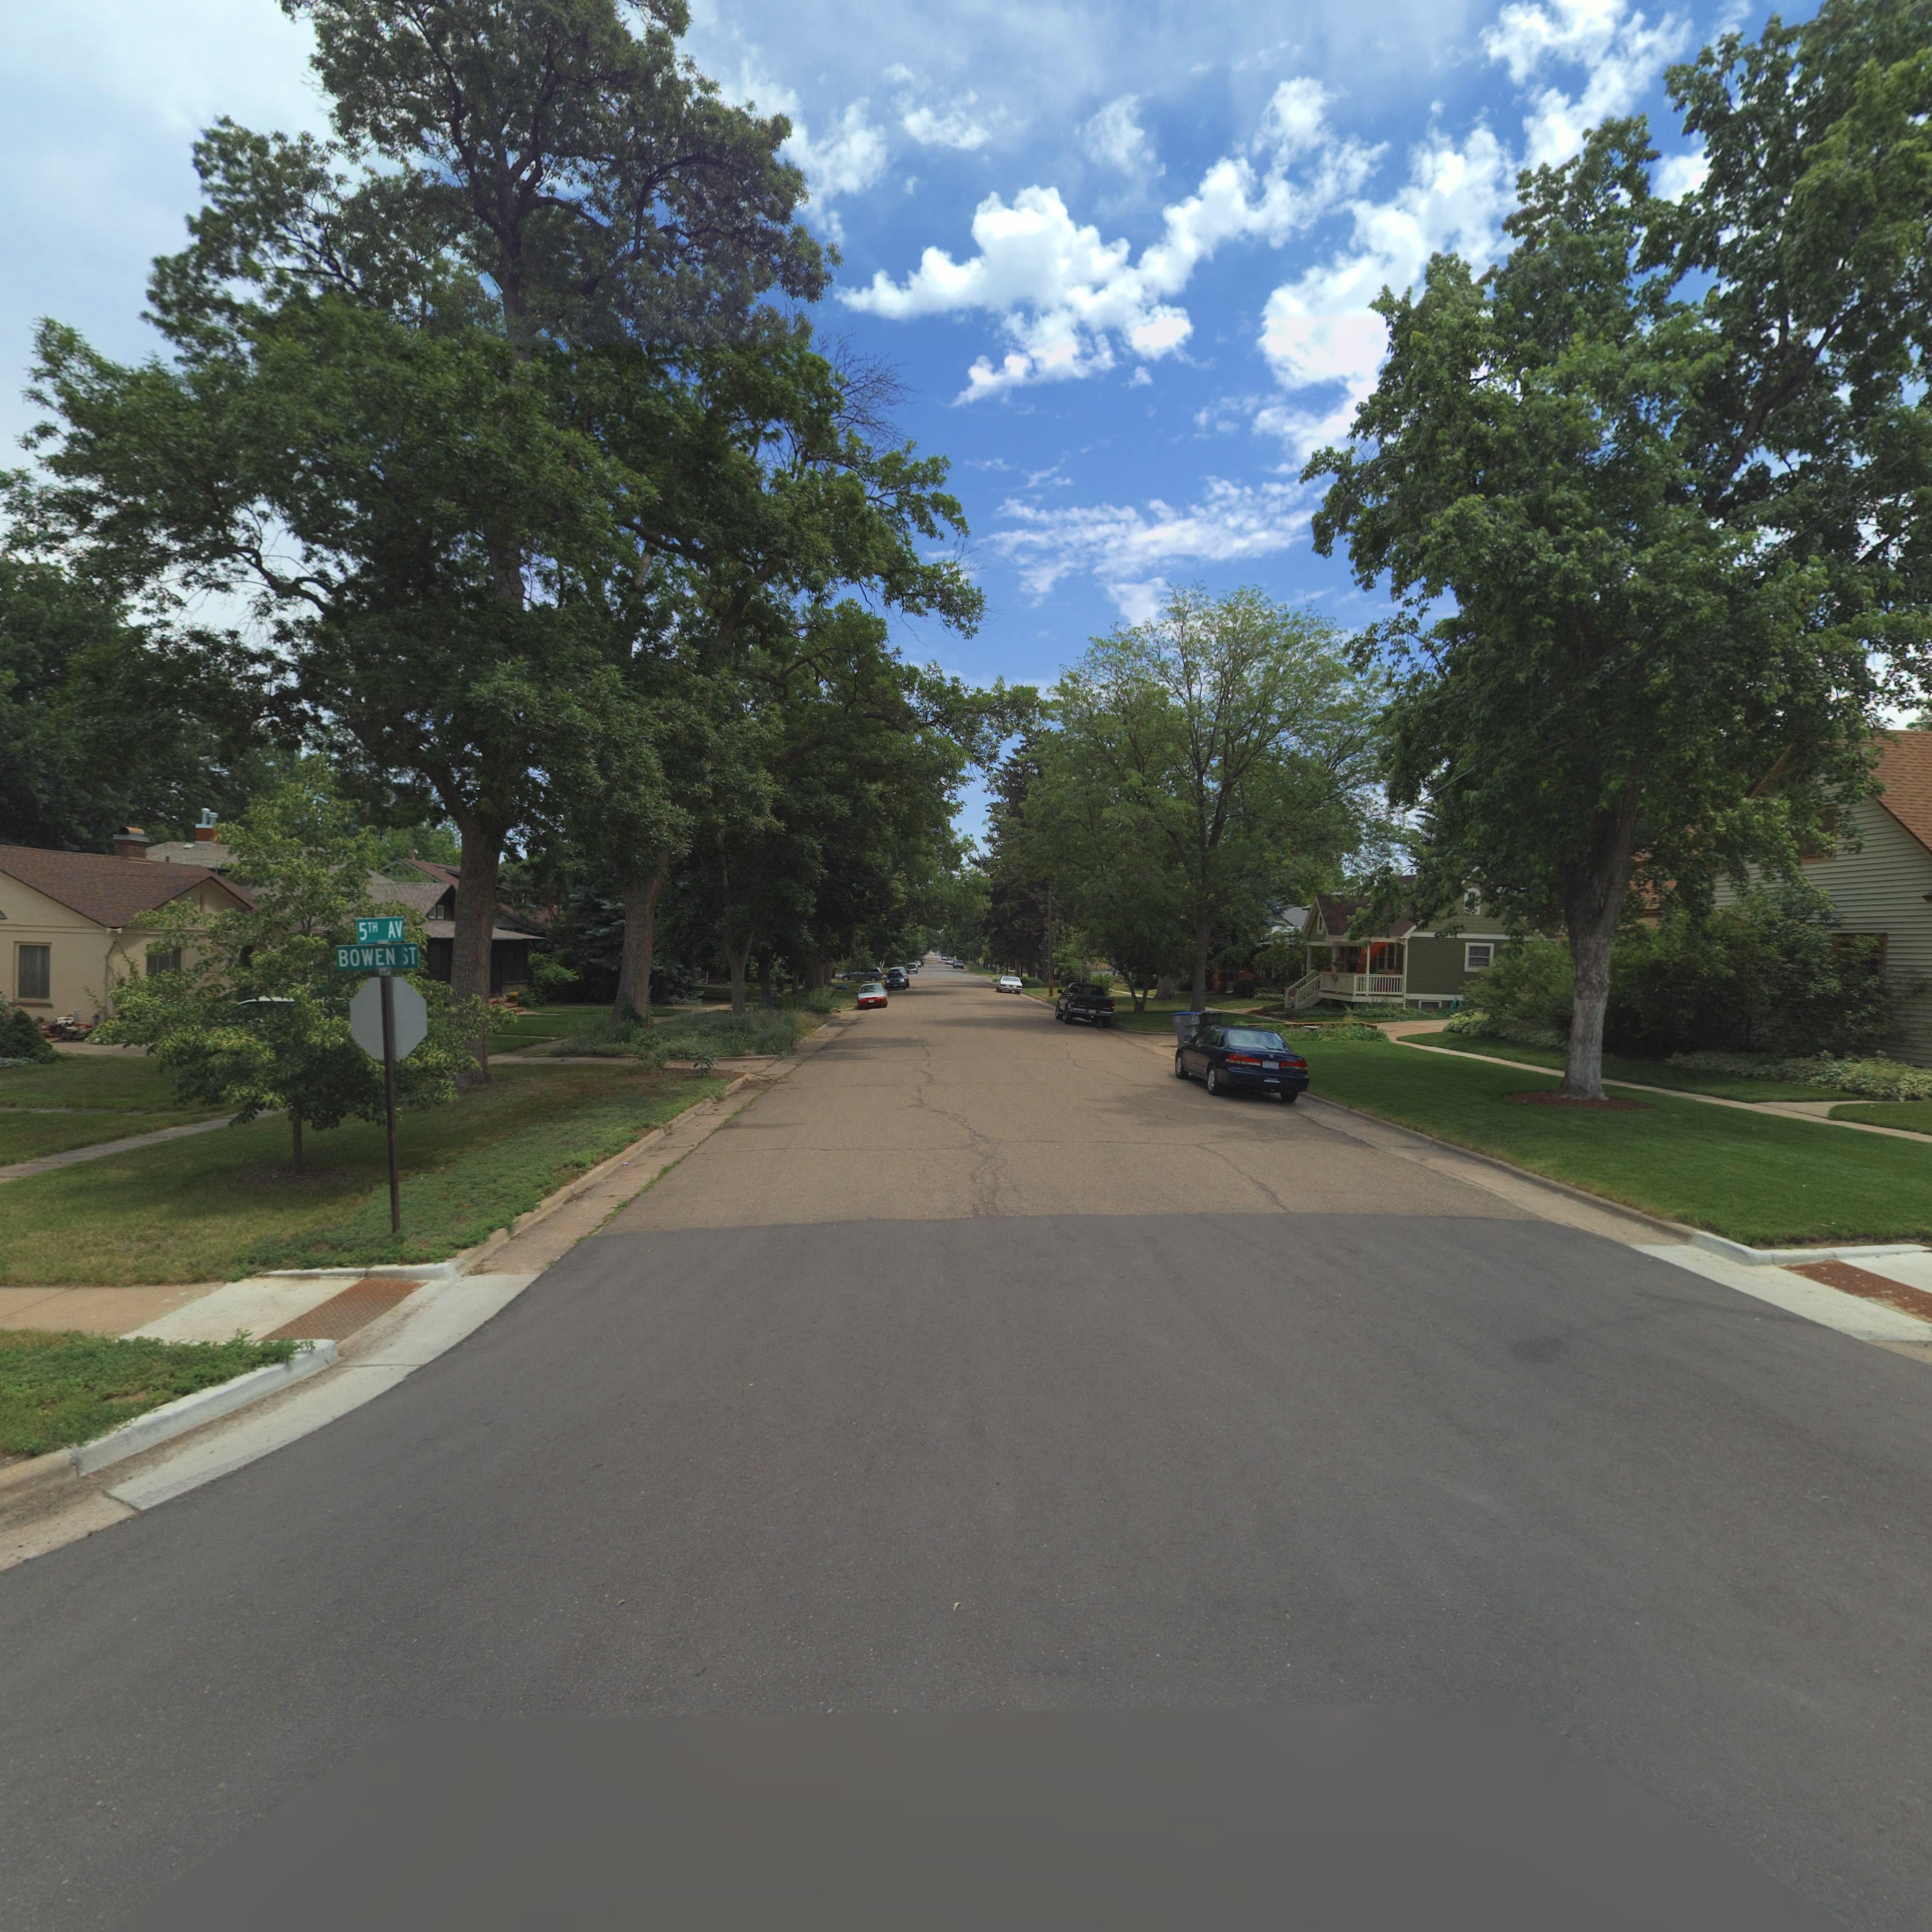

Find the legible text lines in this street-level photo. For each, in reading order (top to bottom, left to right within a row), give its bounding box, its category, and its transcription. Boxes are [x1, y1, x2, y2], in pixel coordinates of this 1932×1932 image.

[358, 920, 403, 941] StreetName: 5TH AV
[337, 946, 416, 967] StreetName: BOWEN *T